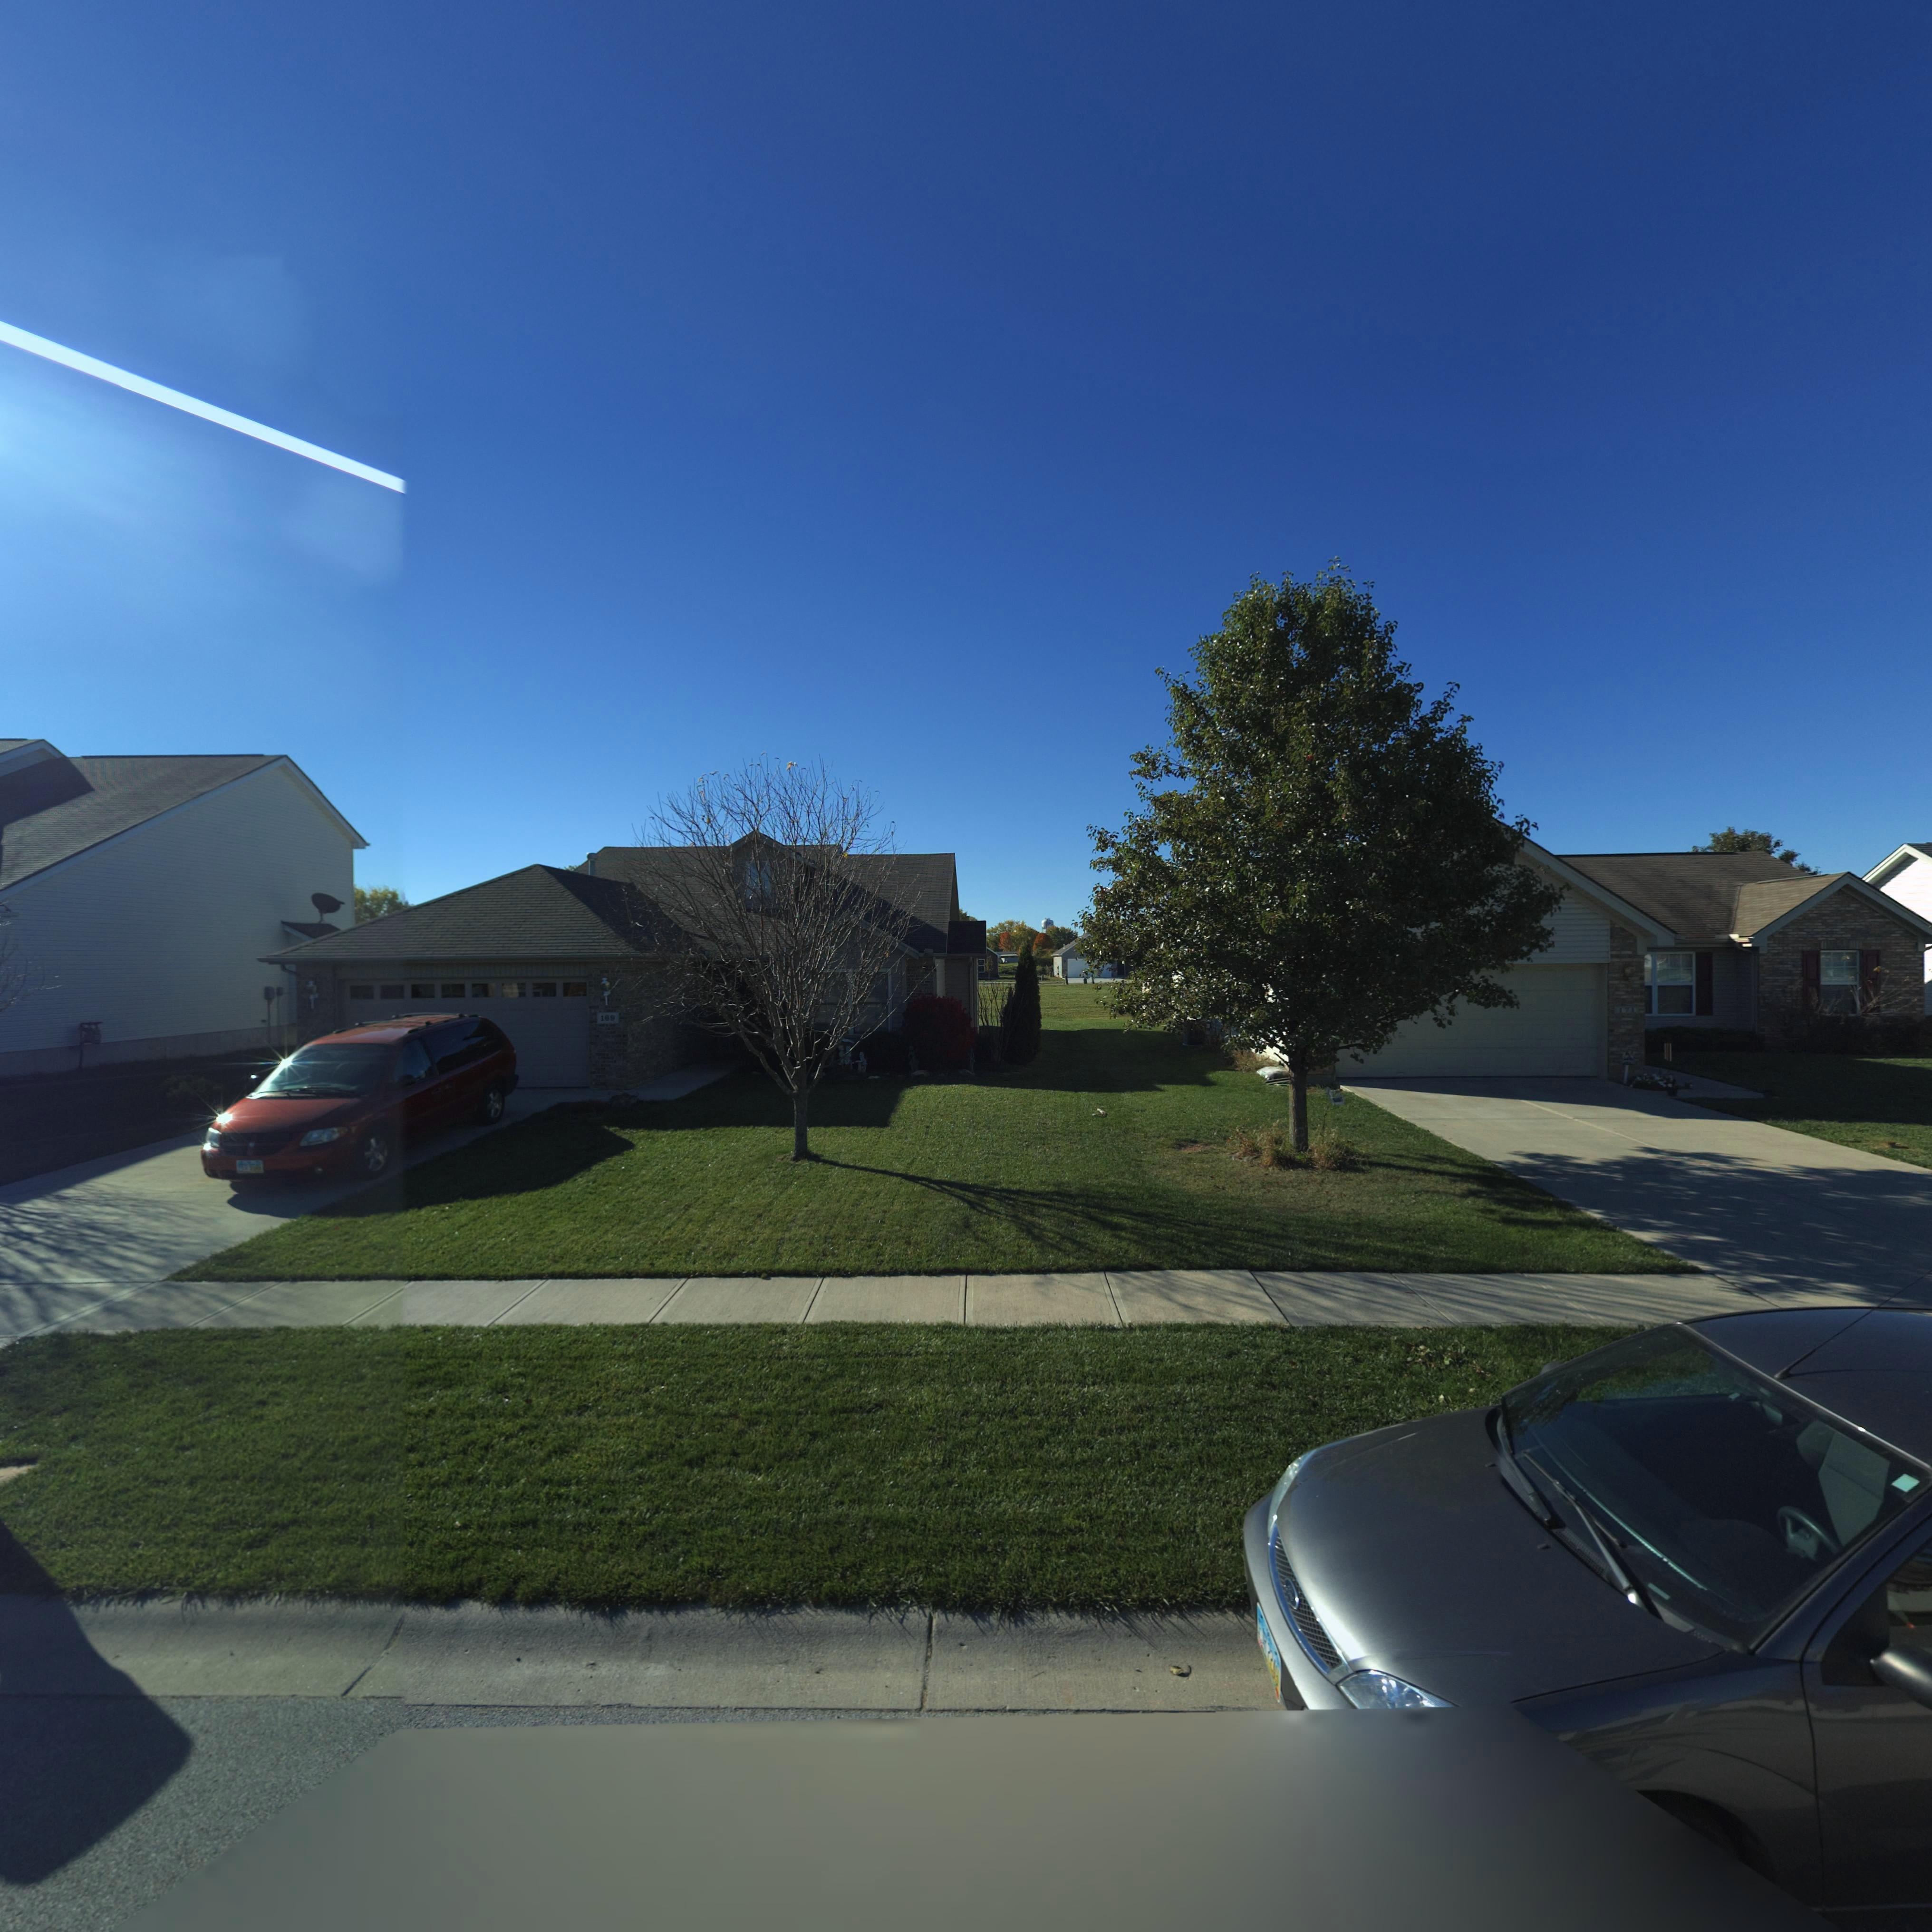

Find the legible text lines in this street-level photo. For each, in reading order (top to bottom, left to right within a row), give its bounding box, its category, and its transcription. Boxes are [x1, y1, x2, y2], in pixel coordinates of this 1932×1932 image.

[1619, 1006, 1634, 1014] StreetNumber: 171
[600, 1014, 615, 1021] StreetNumber: 169